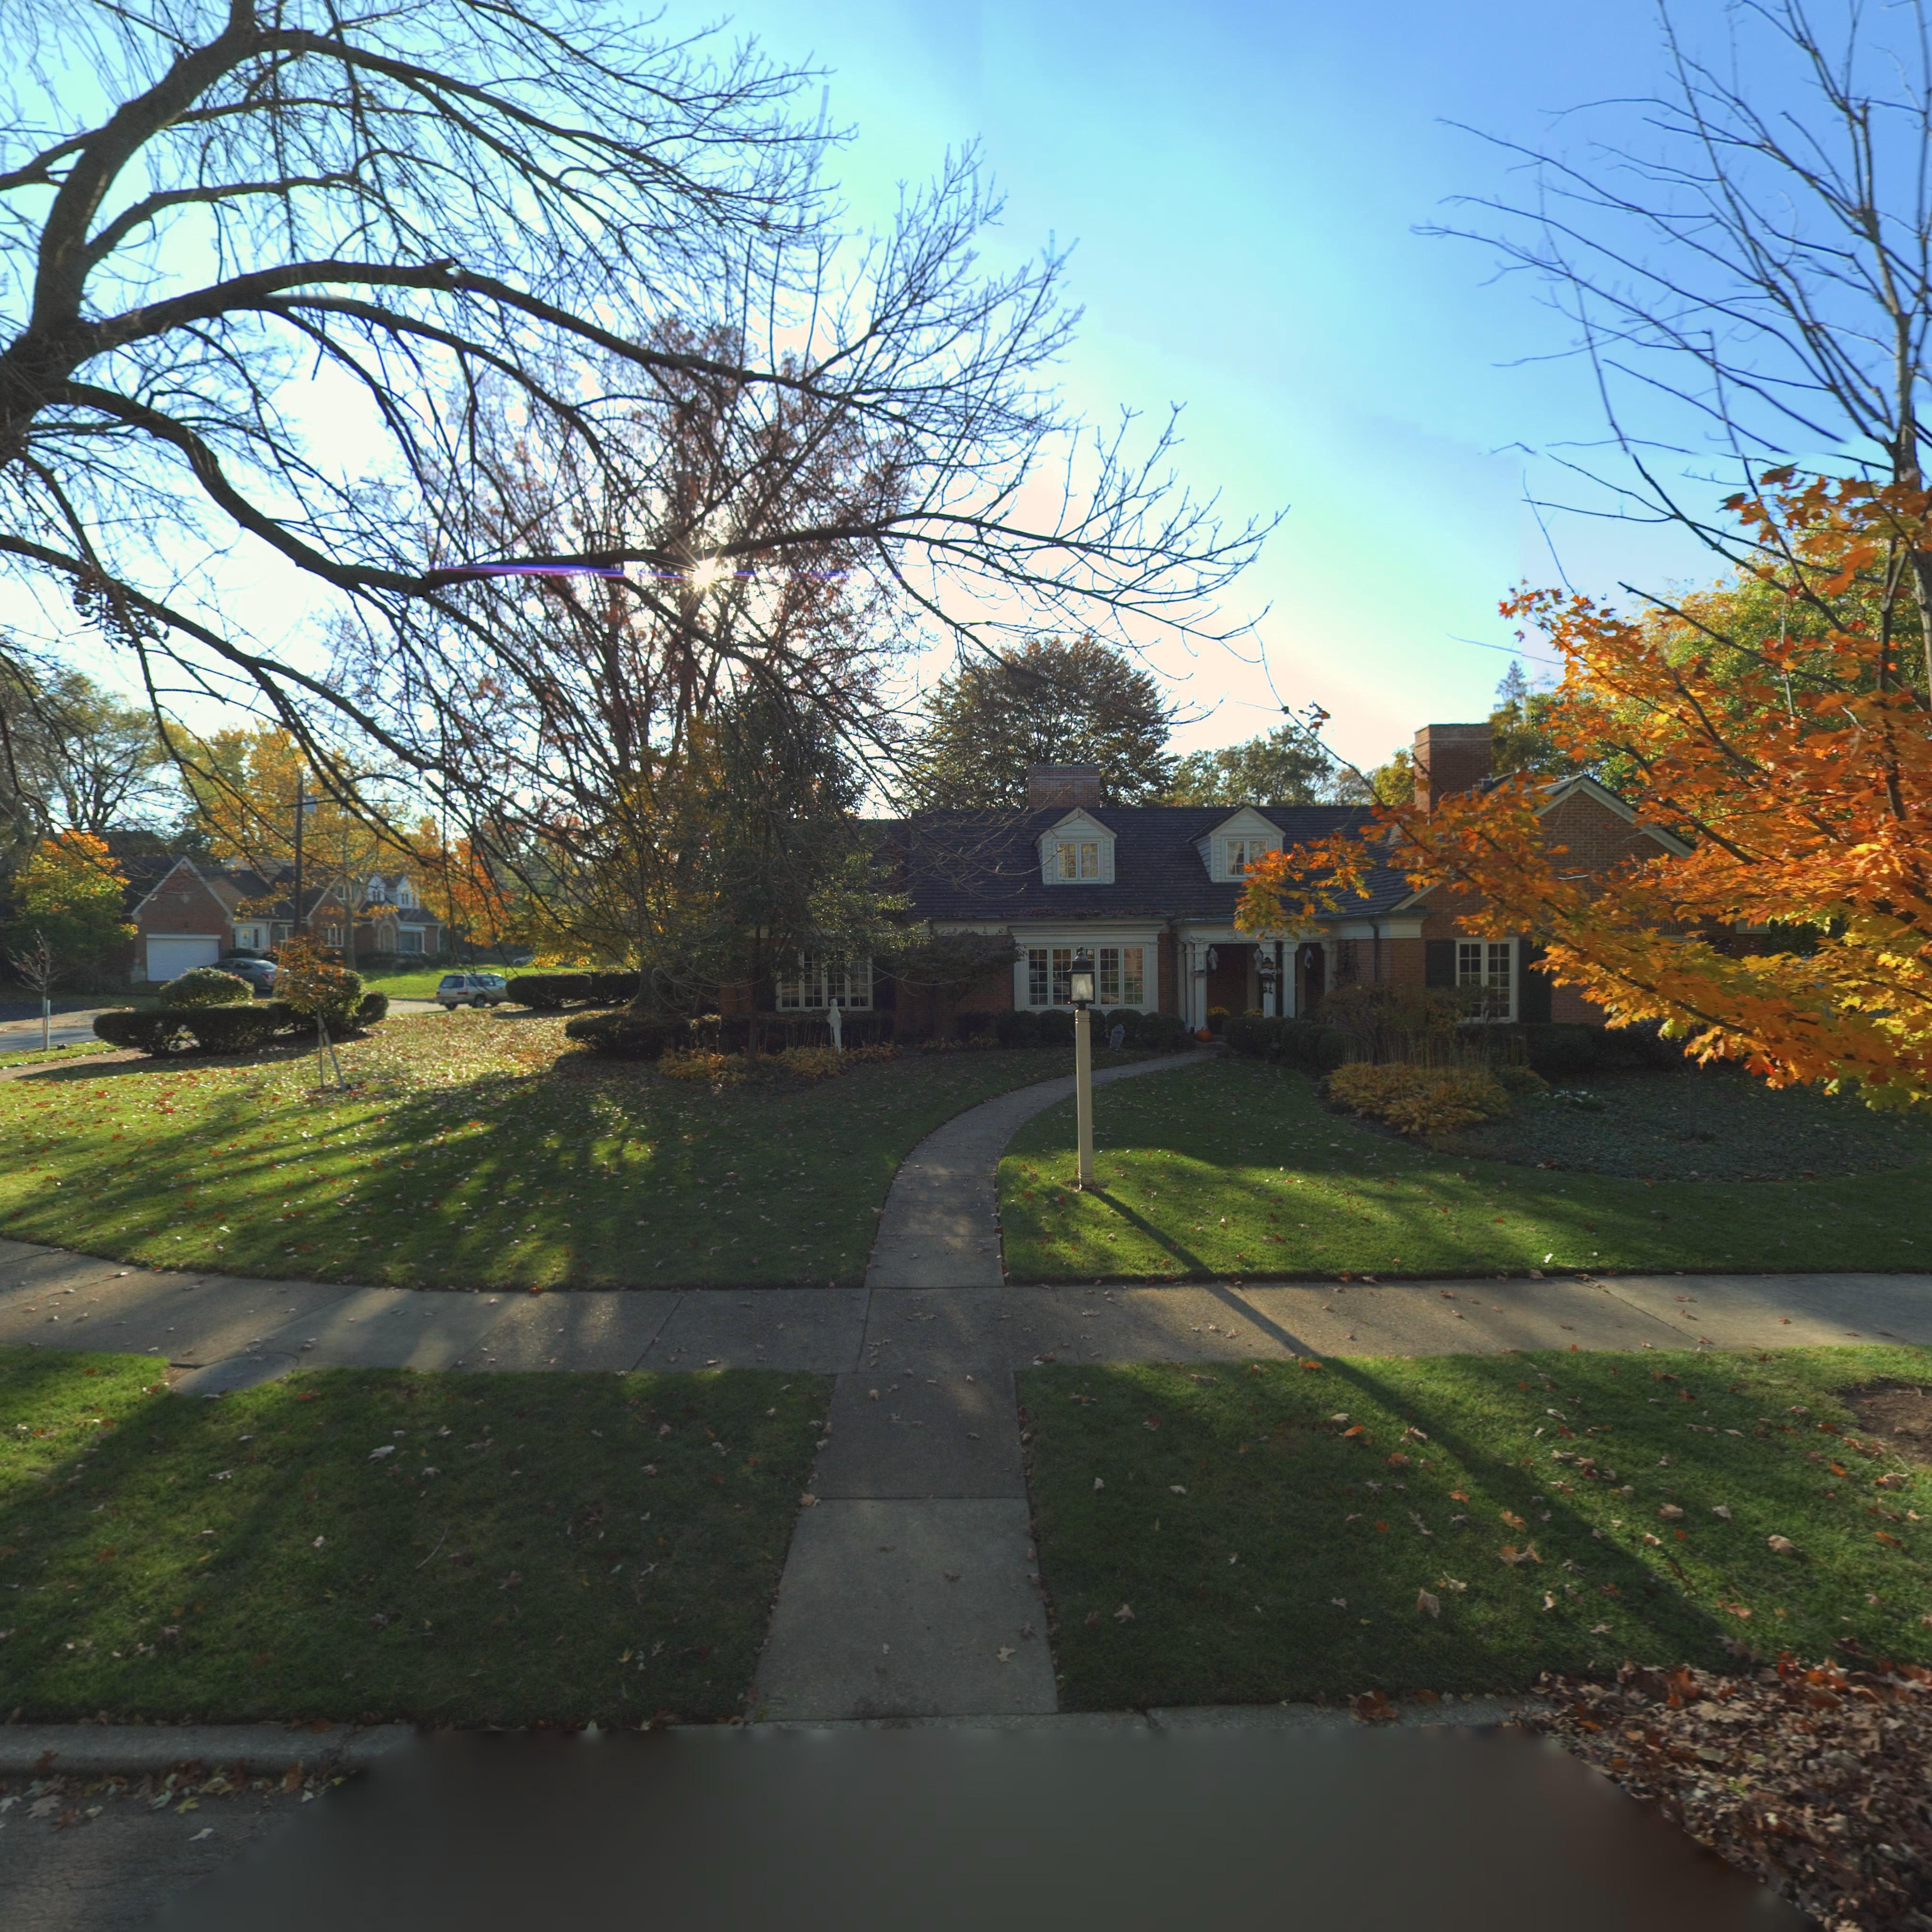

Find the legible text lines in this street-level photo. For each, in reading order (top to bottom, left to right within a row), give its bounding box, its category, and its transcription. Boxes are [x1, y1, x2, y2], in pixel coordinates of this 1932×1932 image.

[1226, 930, 1237, 937] StreetNumber: 415